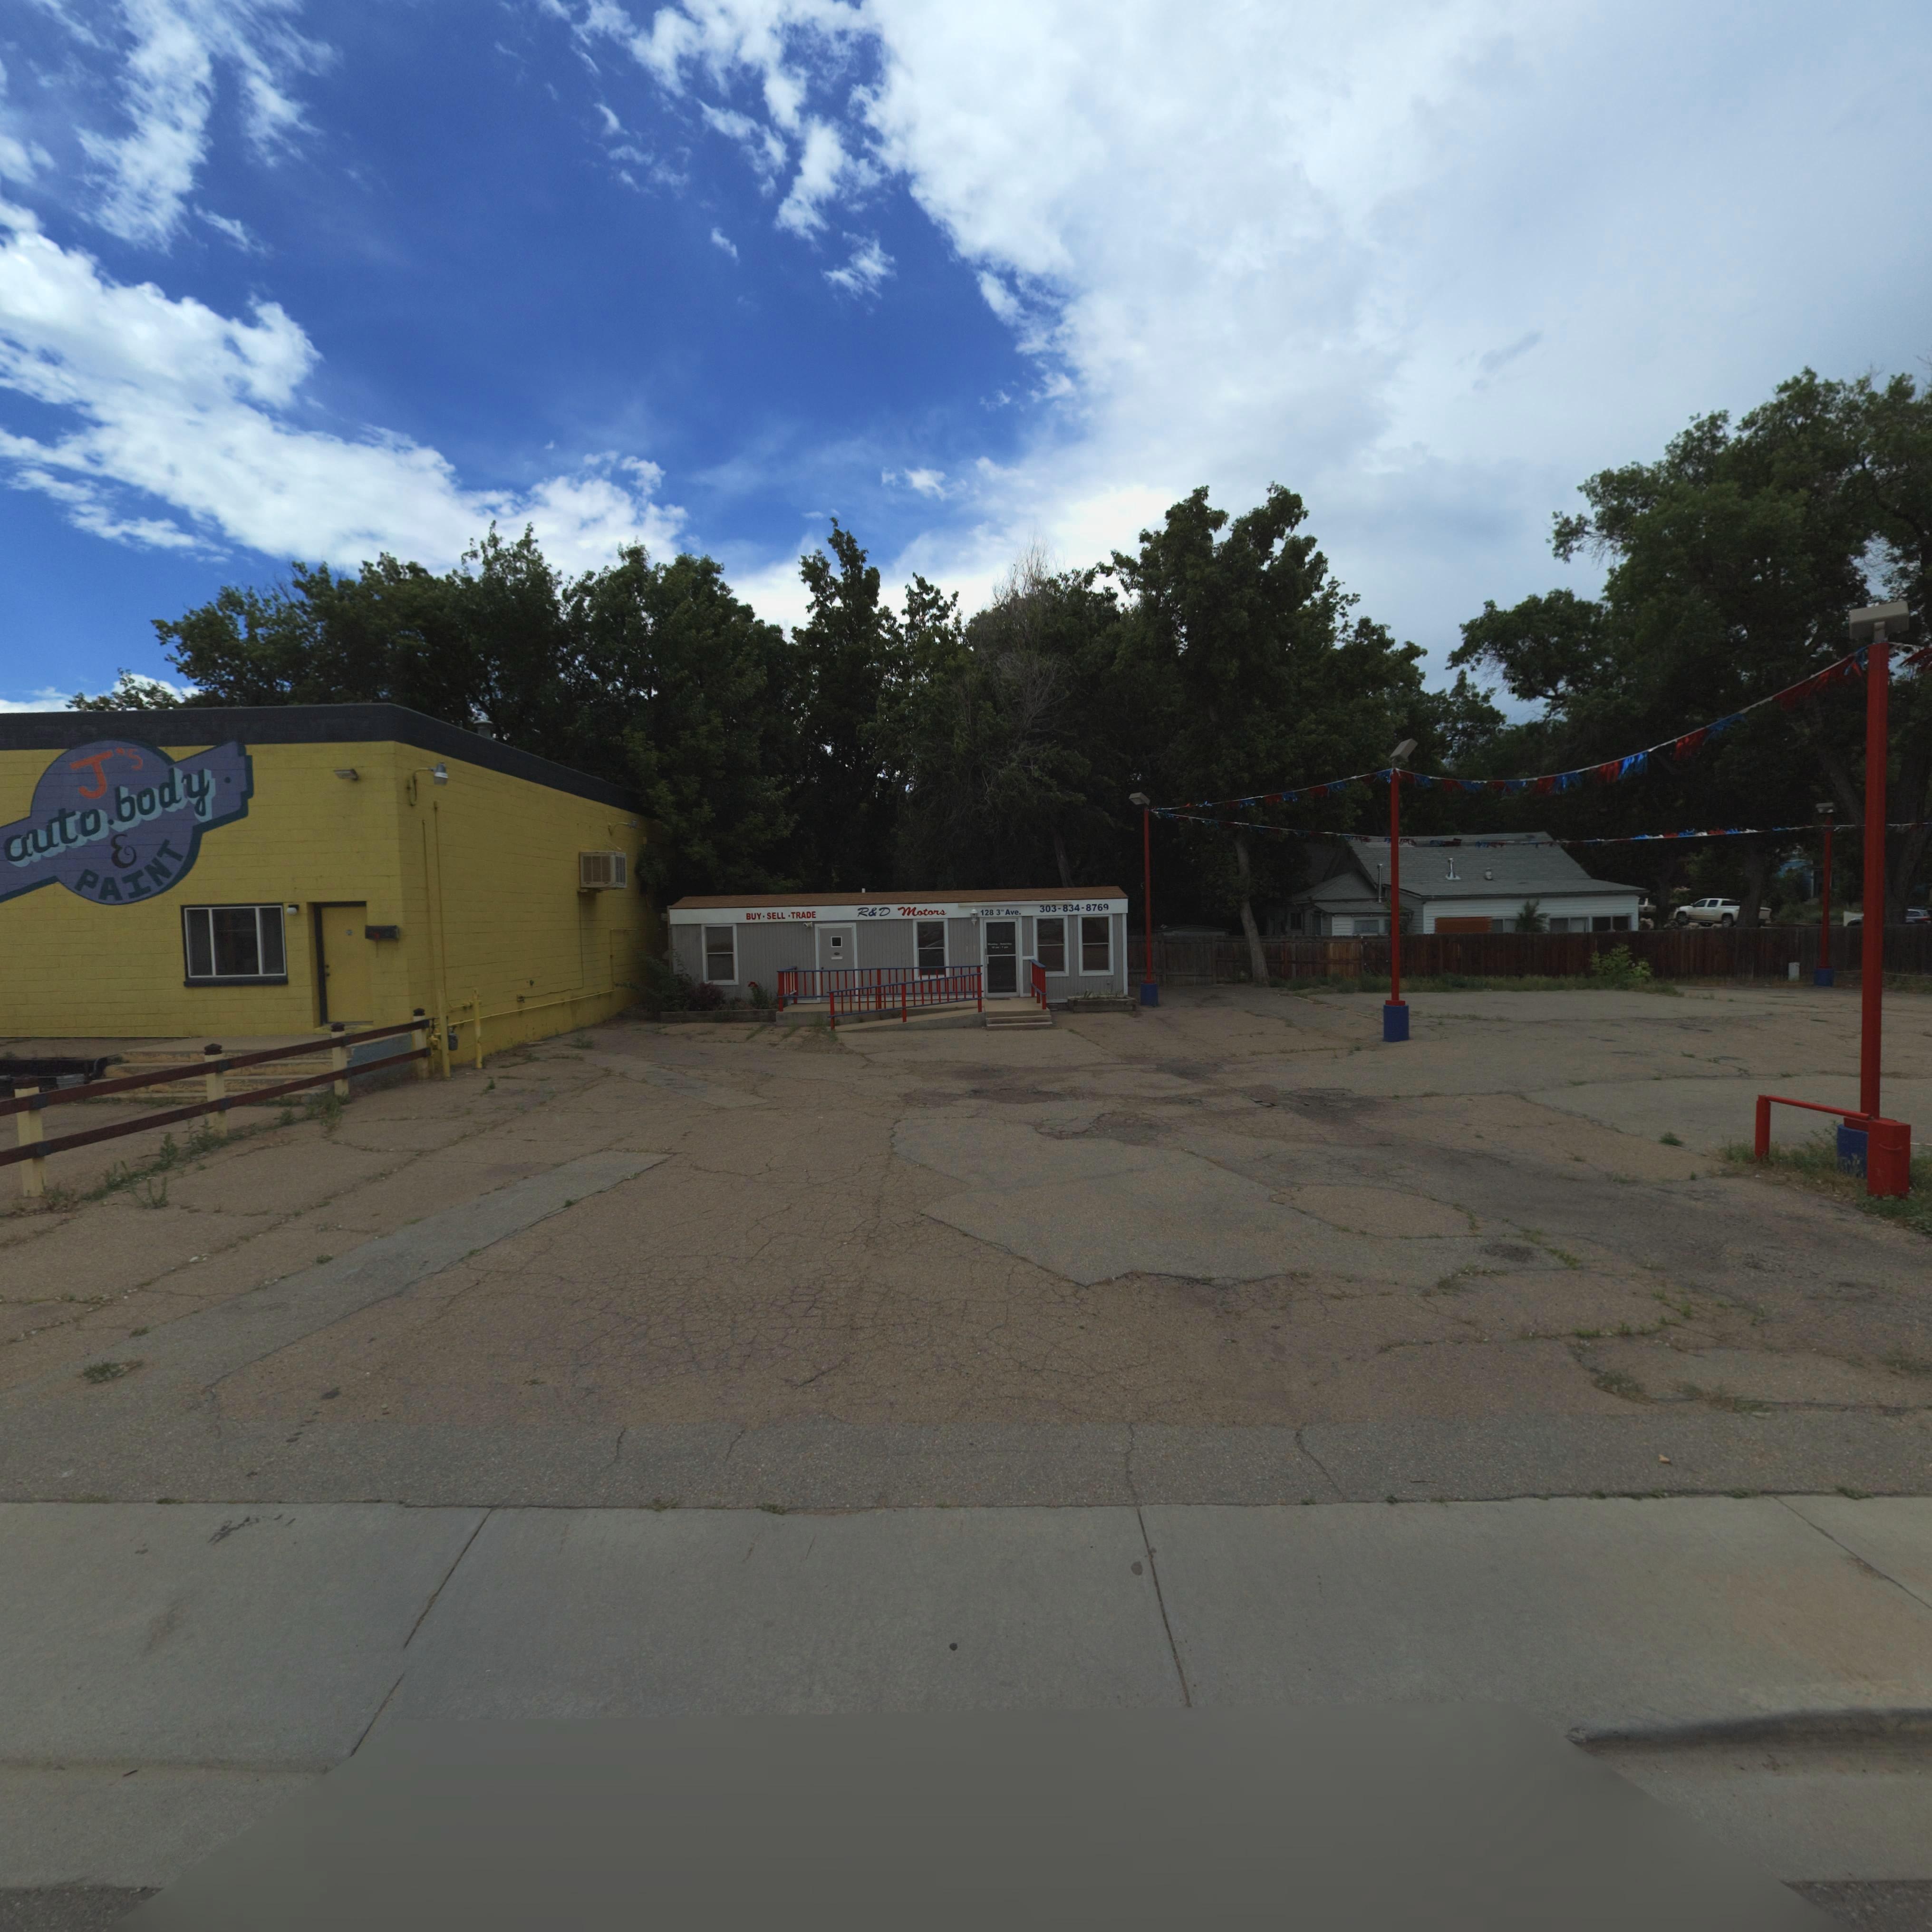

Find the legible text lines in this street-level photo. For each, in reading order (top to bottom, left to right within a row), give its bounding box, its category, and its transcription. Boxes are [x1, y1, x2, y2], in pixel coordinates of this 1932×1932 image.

[68, 746, 144, 801] BusinessName: J's
[3, 765, 217, 869] BusinessName: autobody
[109, 832, 137, 869] BusinessName: &
[73, 837, 183, 902] BusinessName: PAINT
[857, 907, 947, 917] BusinessName: R&D Motors
[980, 909, 994, 916] StreetNumber: 128
[996, 908, 1021, 915] StreetName: 3rd Ave.